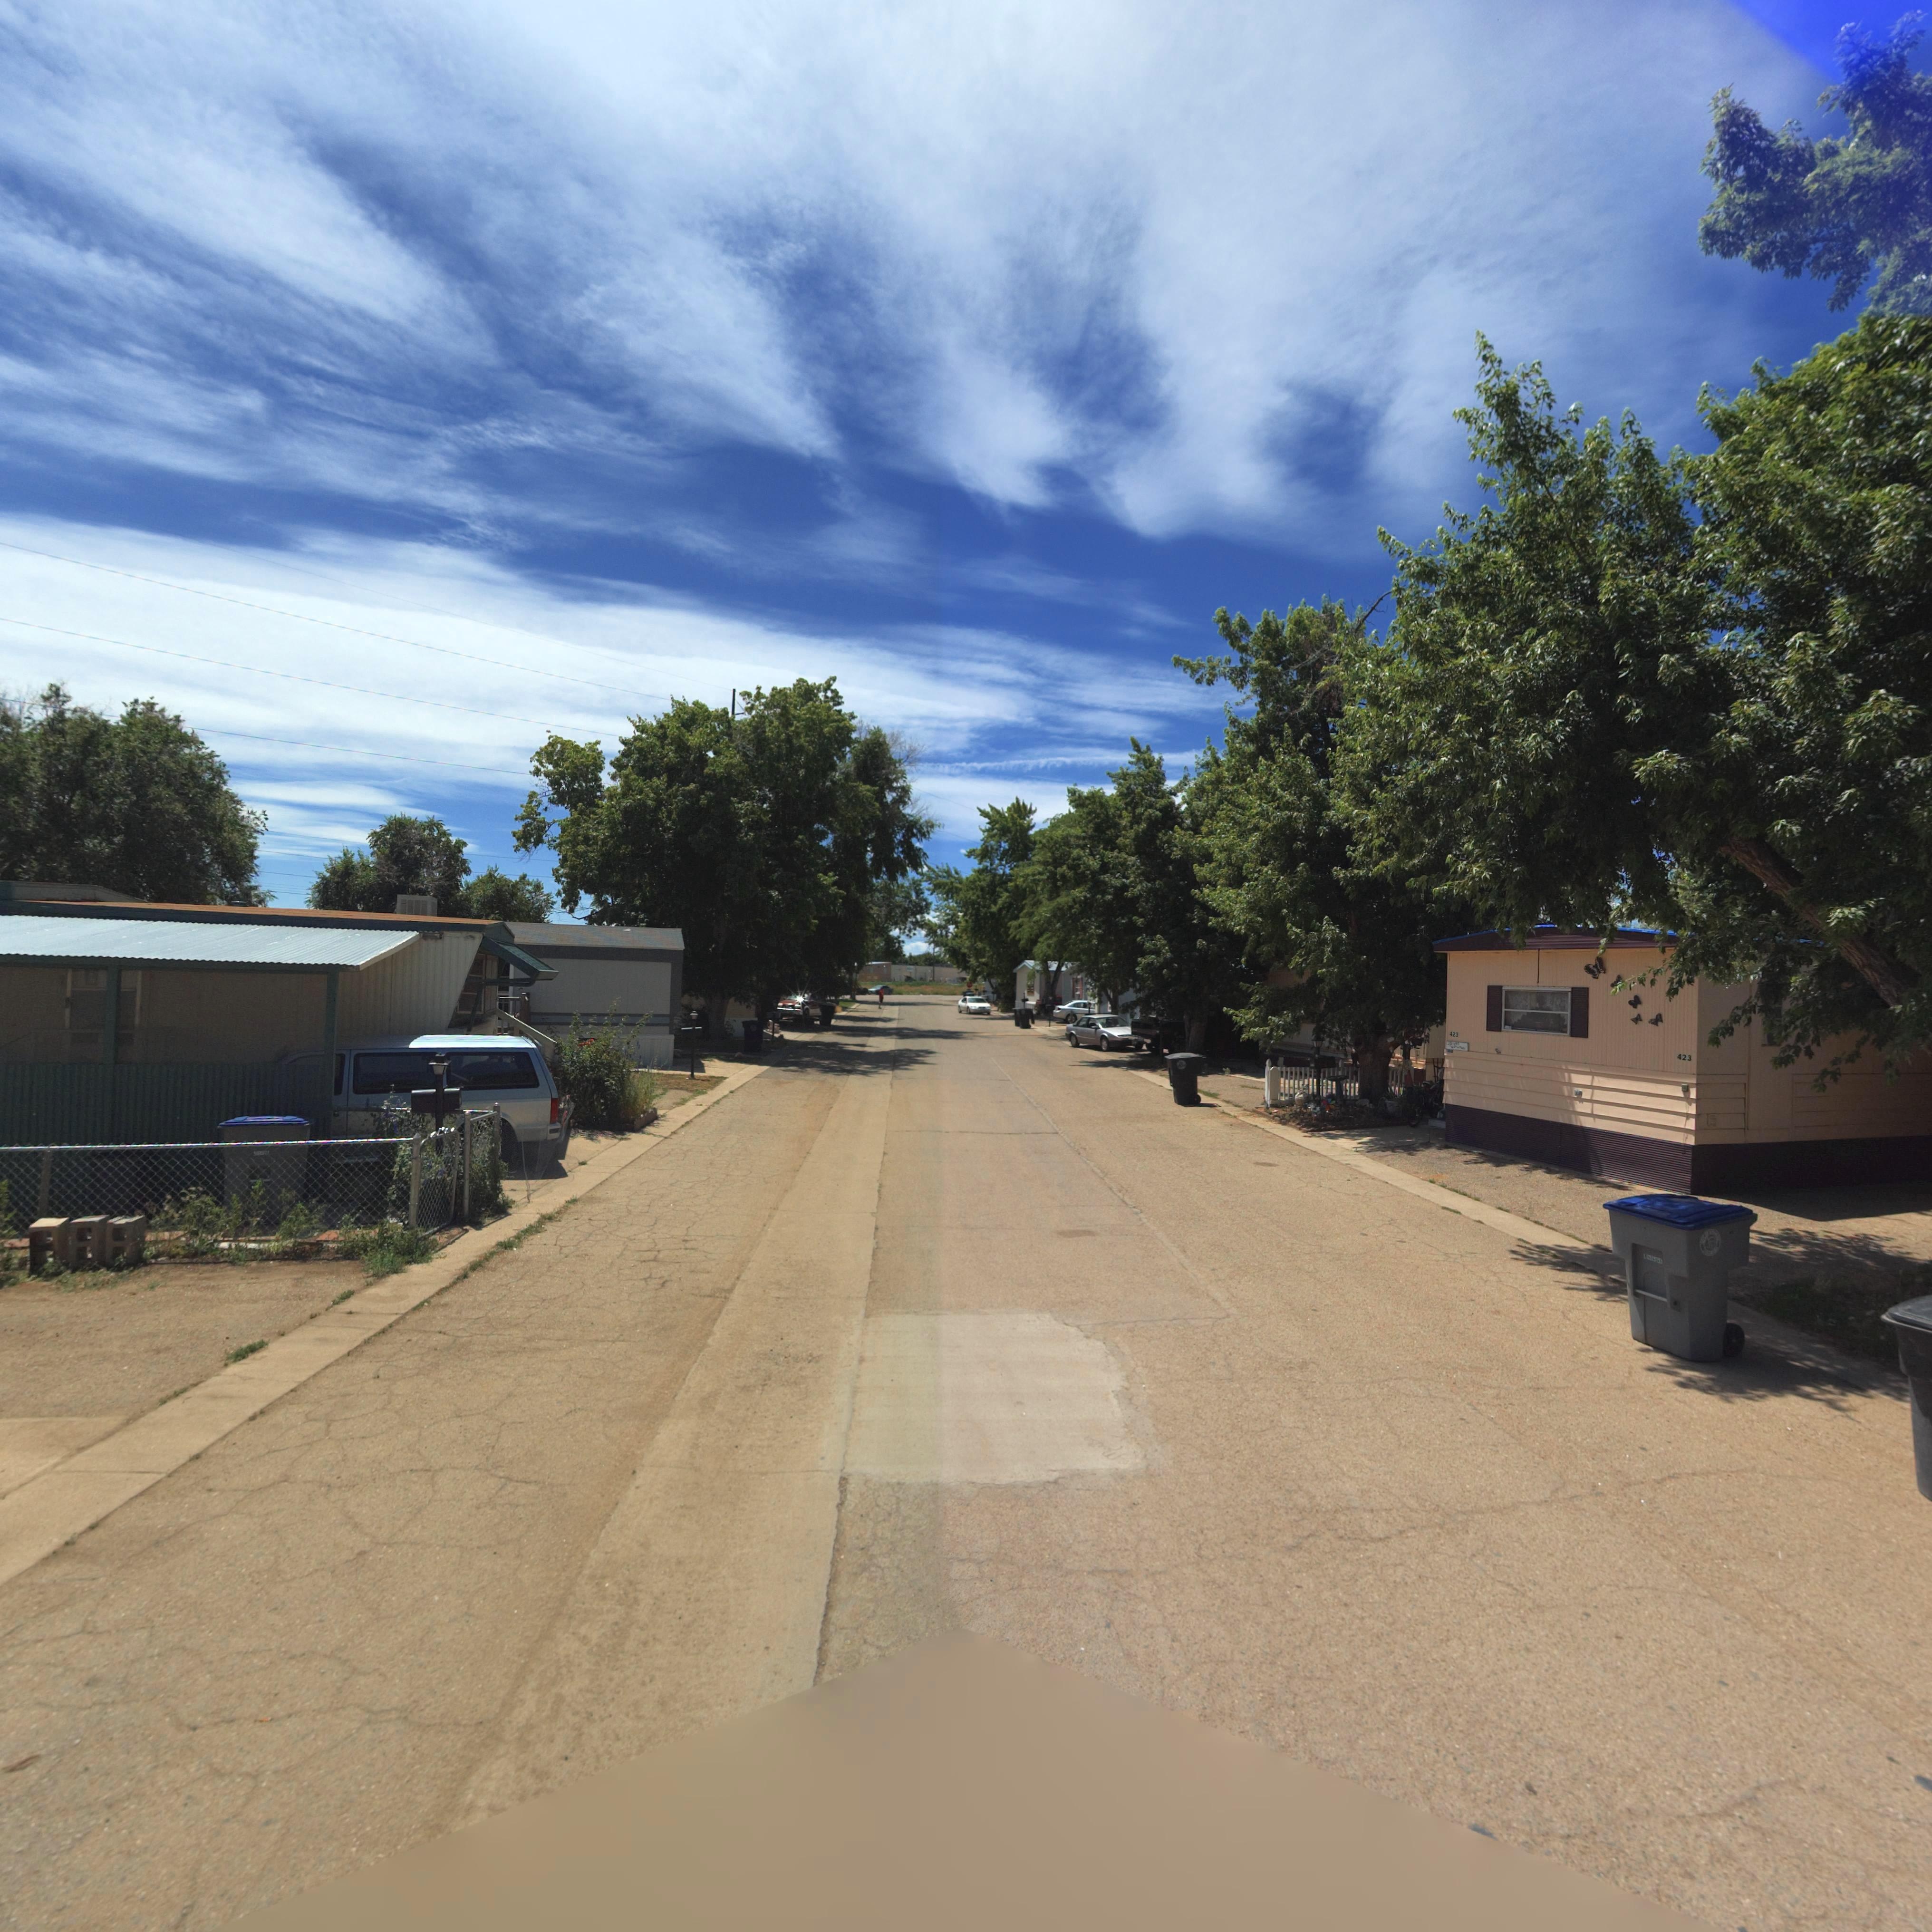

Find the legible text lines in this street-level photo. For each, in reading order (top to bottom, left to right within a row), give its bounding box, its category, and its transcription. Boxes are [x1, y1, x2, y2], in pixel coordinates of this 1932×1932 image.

[1449, 1031, 1458, 1036] StreetNumber: 423
[1677, 1053, 1691, 1061] StreetNumber: 423